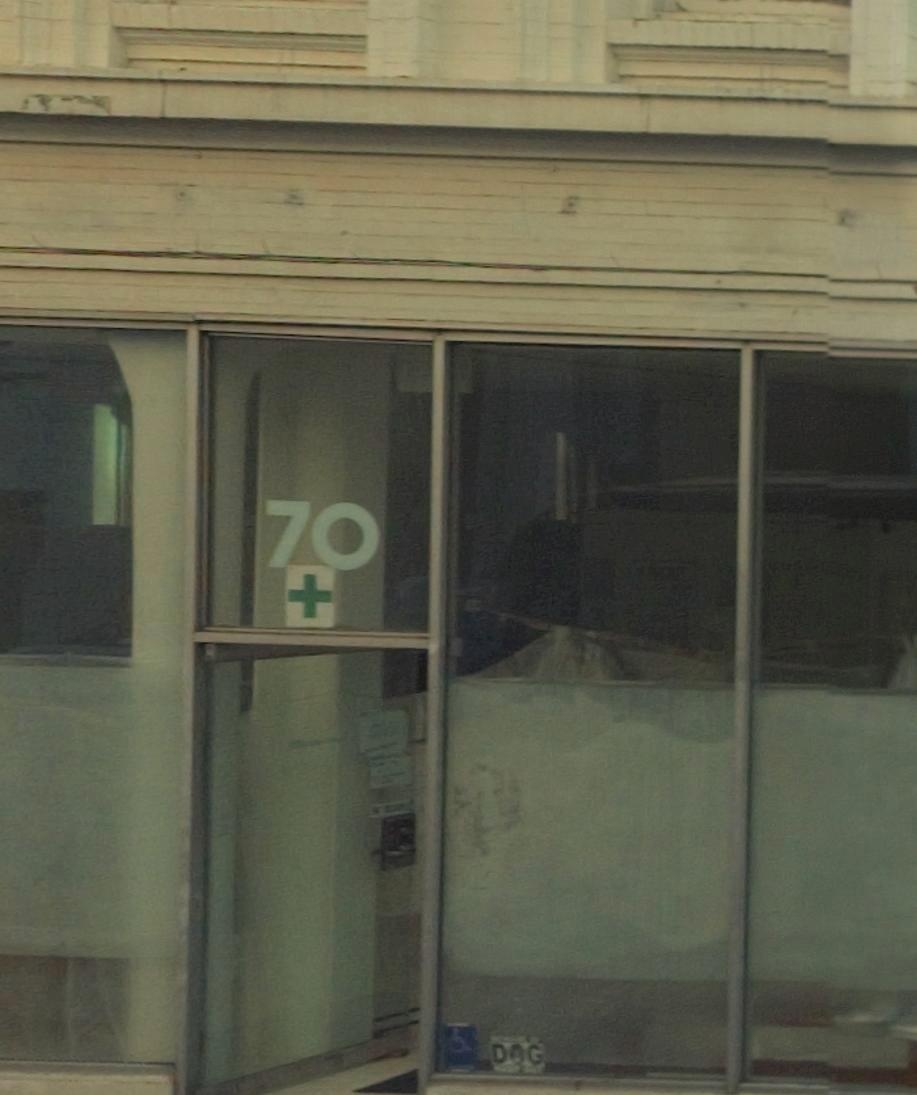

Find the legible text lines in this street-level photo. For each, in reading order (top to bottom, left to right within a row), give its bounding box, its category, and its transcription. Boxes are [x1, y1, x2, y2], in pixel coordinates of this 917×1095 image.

[262, 498, 383, 573] StreetNumber: 70
[491, 1043, 545, 1065] None: DOG